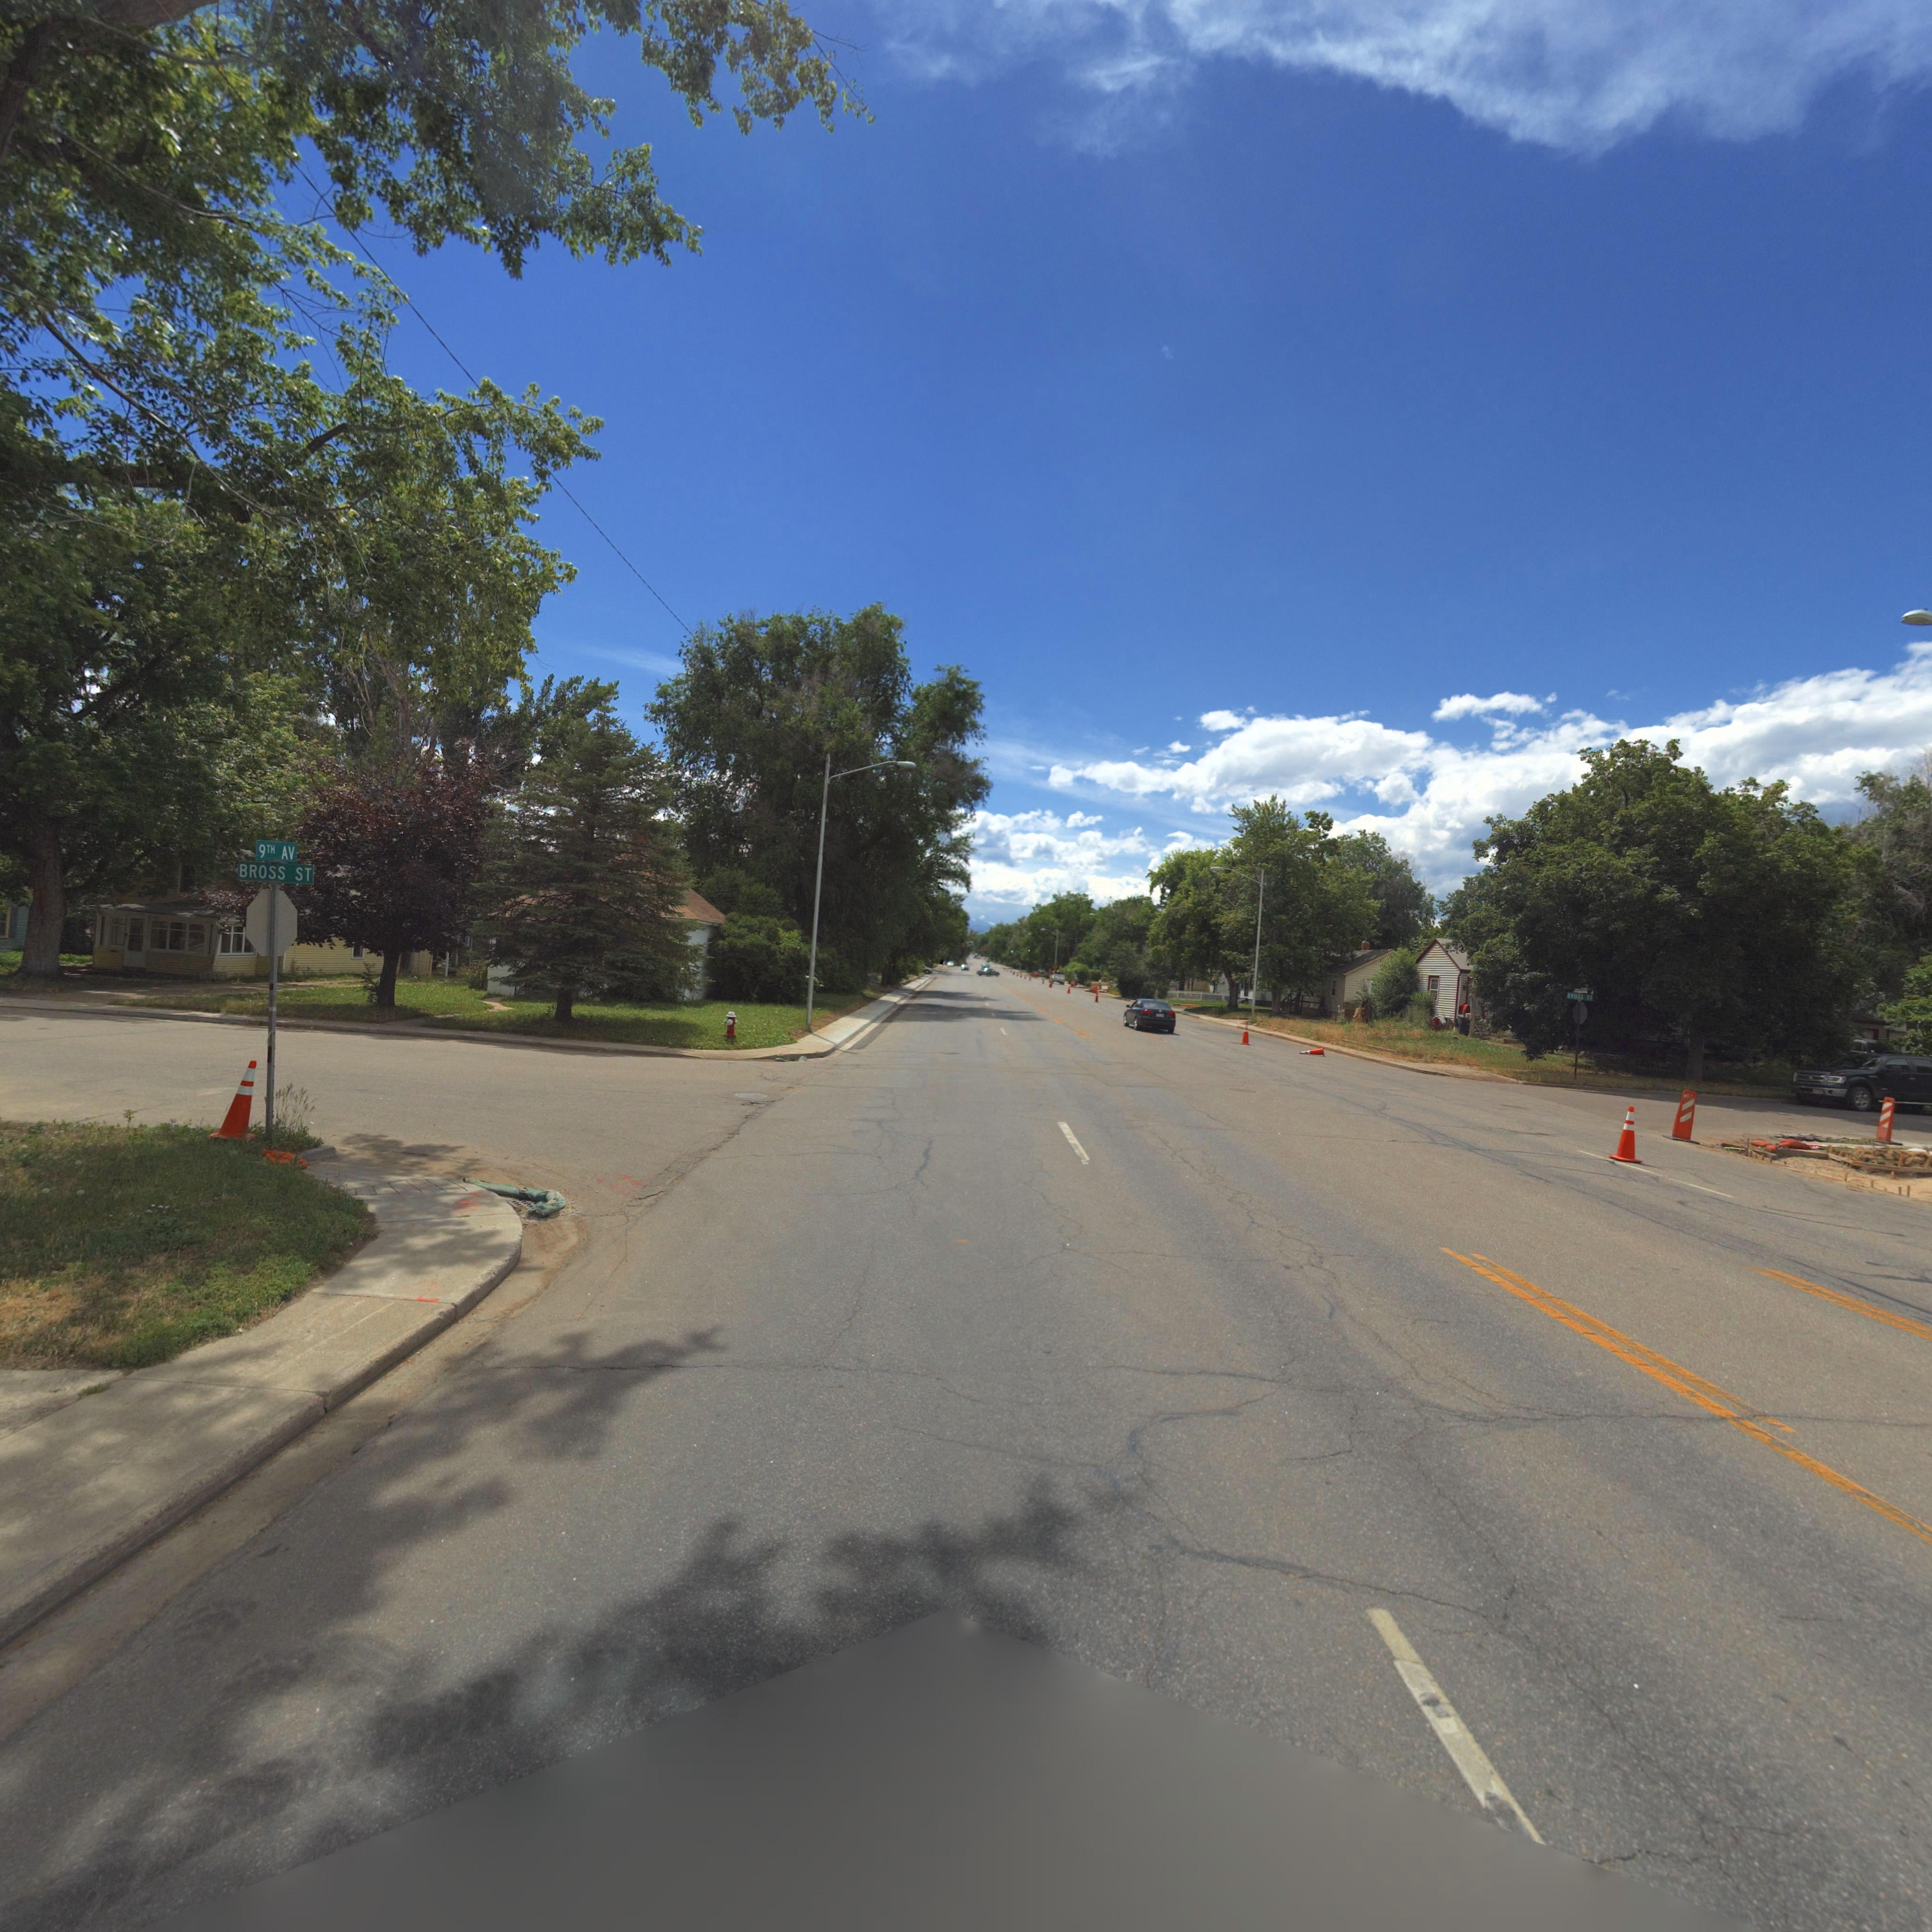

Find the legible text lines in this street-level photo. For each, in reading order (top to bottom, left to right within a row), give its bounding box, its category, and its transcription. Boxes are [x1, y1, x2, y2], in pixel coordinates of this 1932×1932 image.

[258, 843, 296, 860] StreetName: 9TH AV
[239, 863, 312, 882] StreetName: BROSS ST
[1567, 993, 1593, 1000] StreetName: BROSS ST